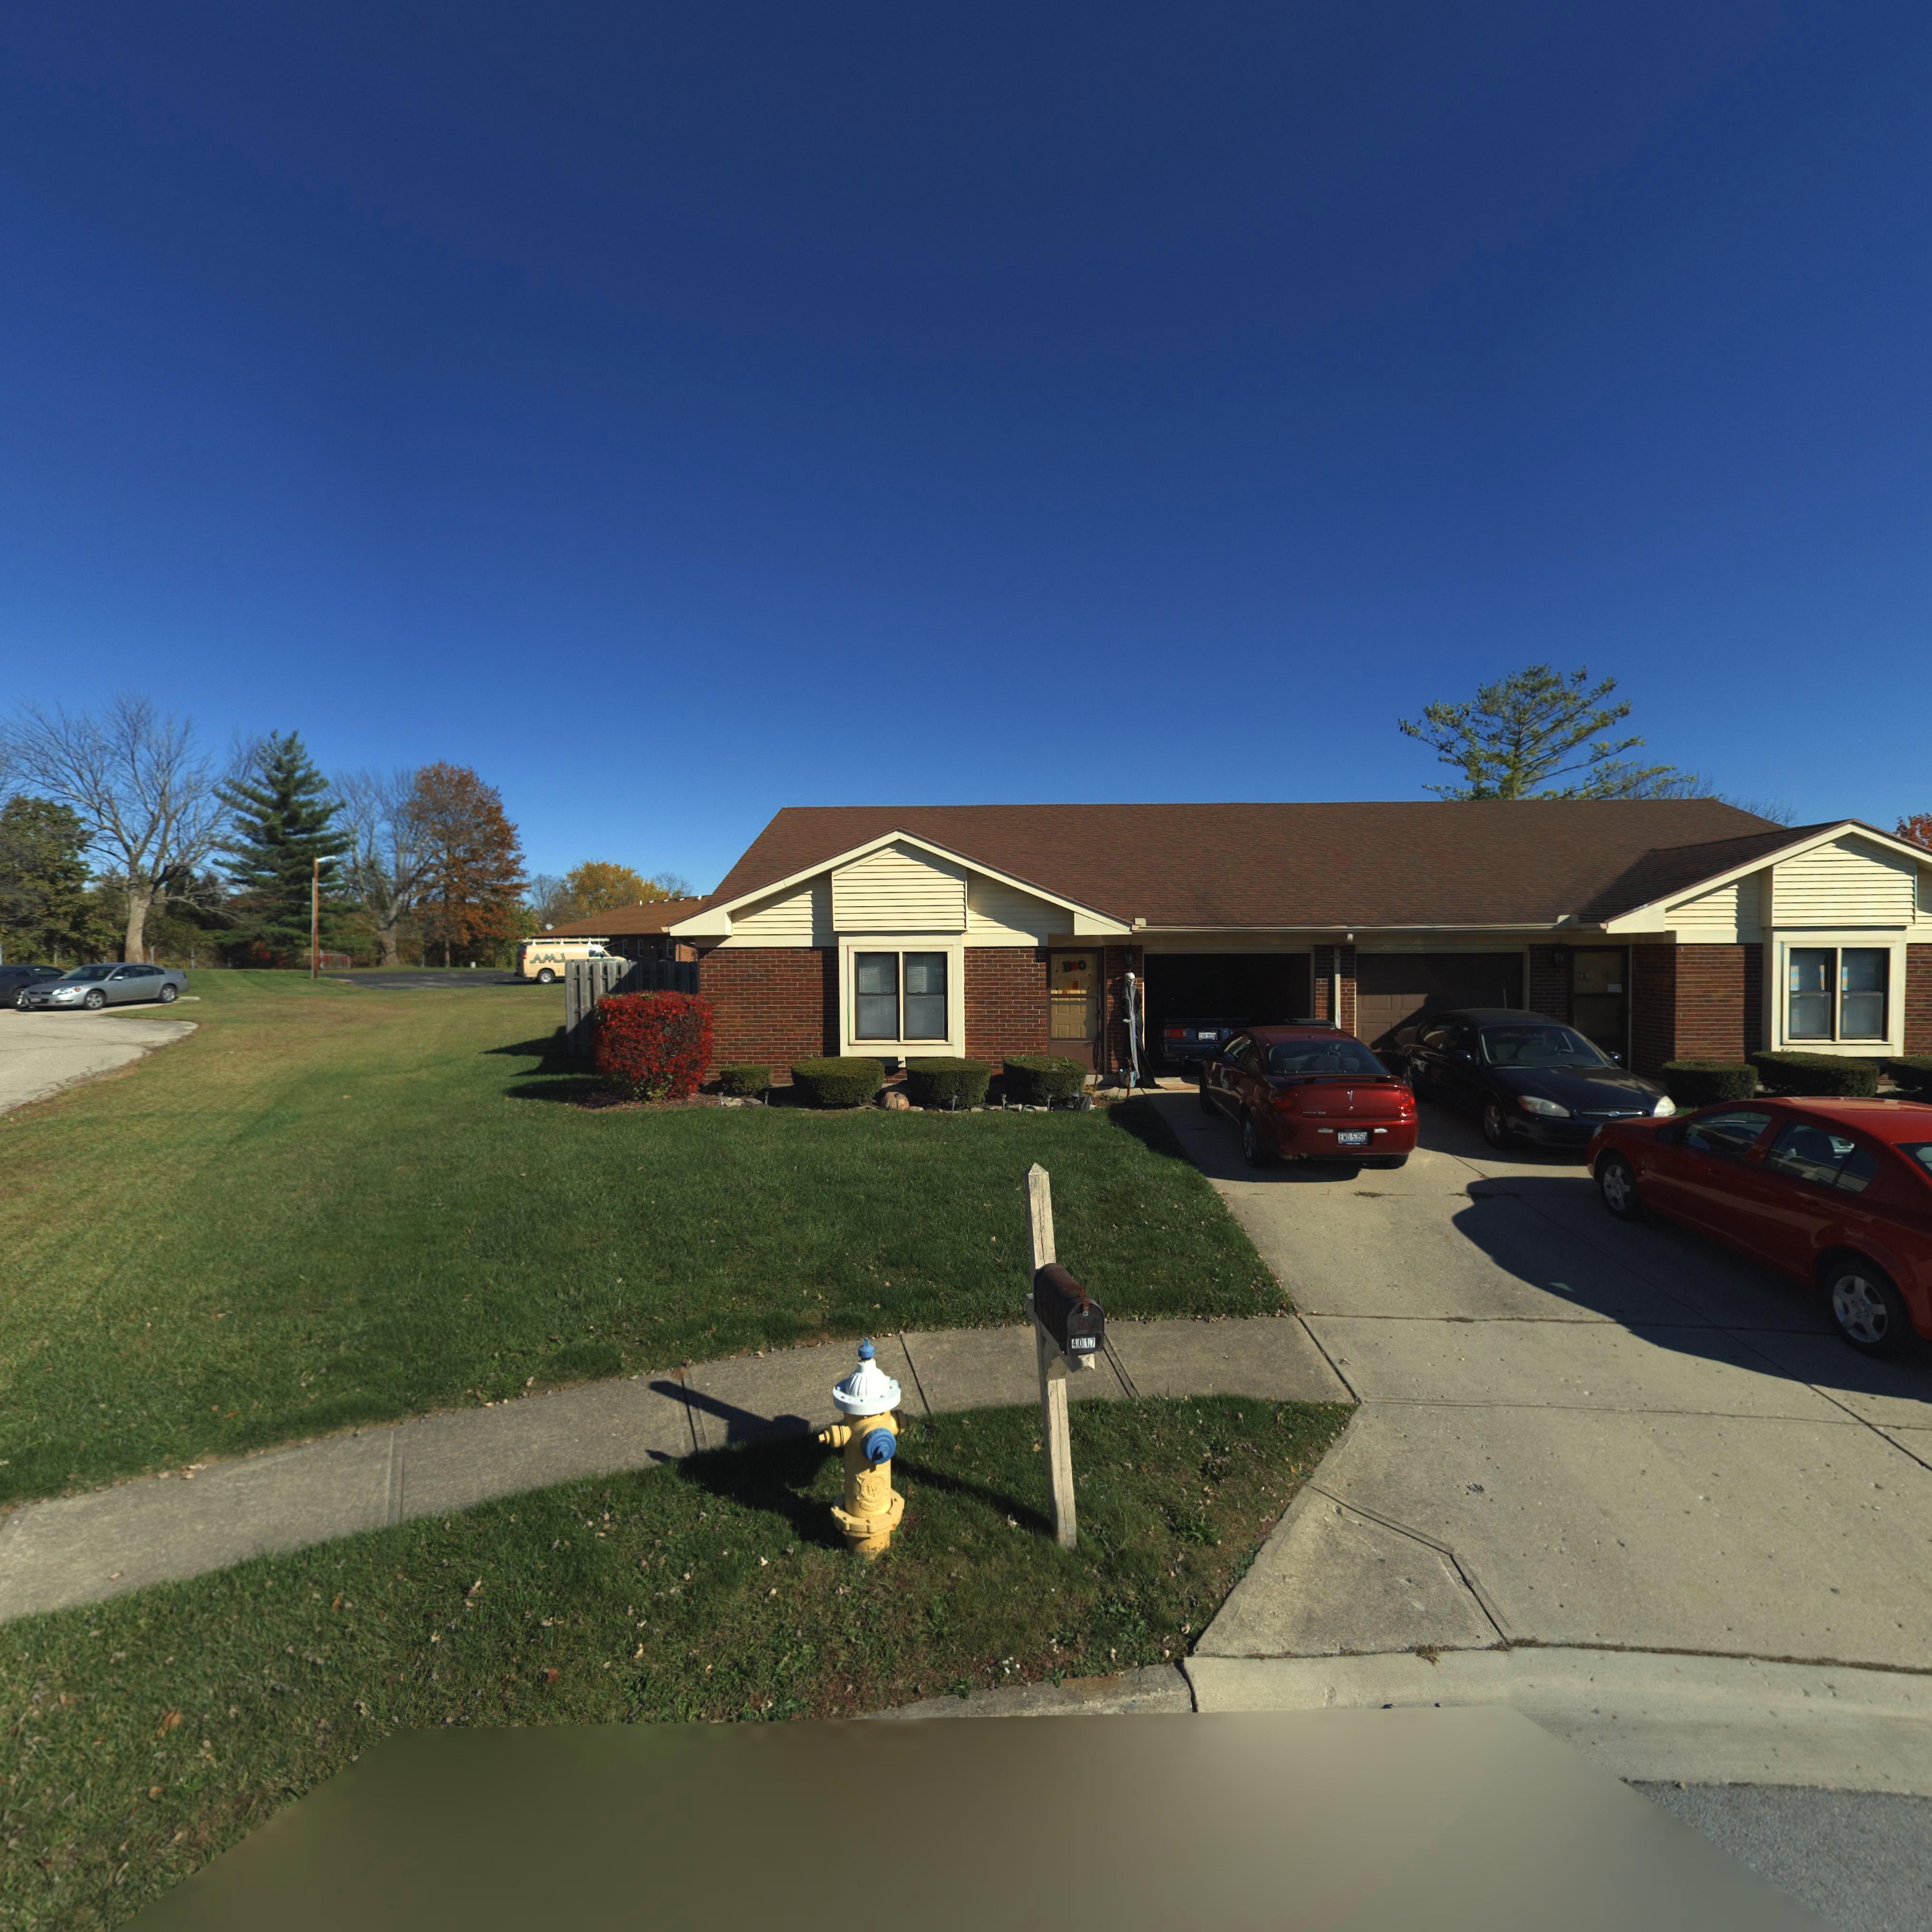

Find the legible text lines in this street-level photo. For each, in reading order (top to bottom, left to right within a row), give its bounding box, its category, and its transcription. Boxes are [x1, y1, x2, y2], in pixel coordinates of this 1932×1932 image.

[1072, 1337, 1095, 1348] StreetNumber: 4017